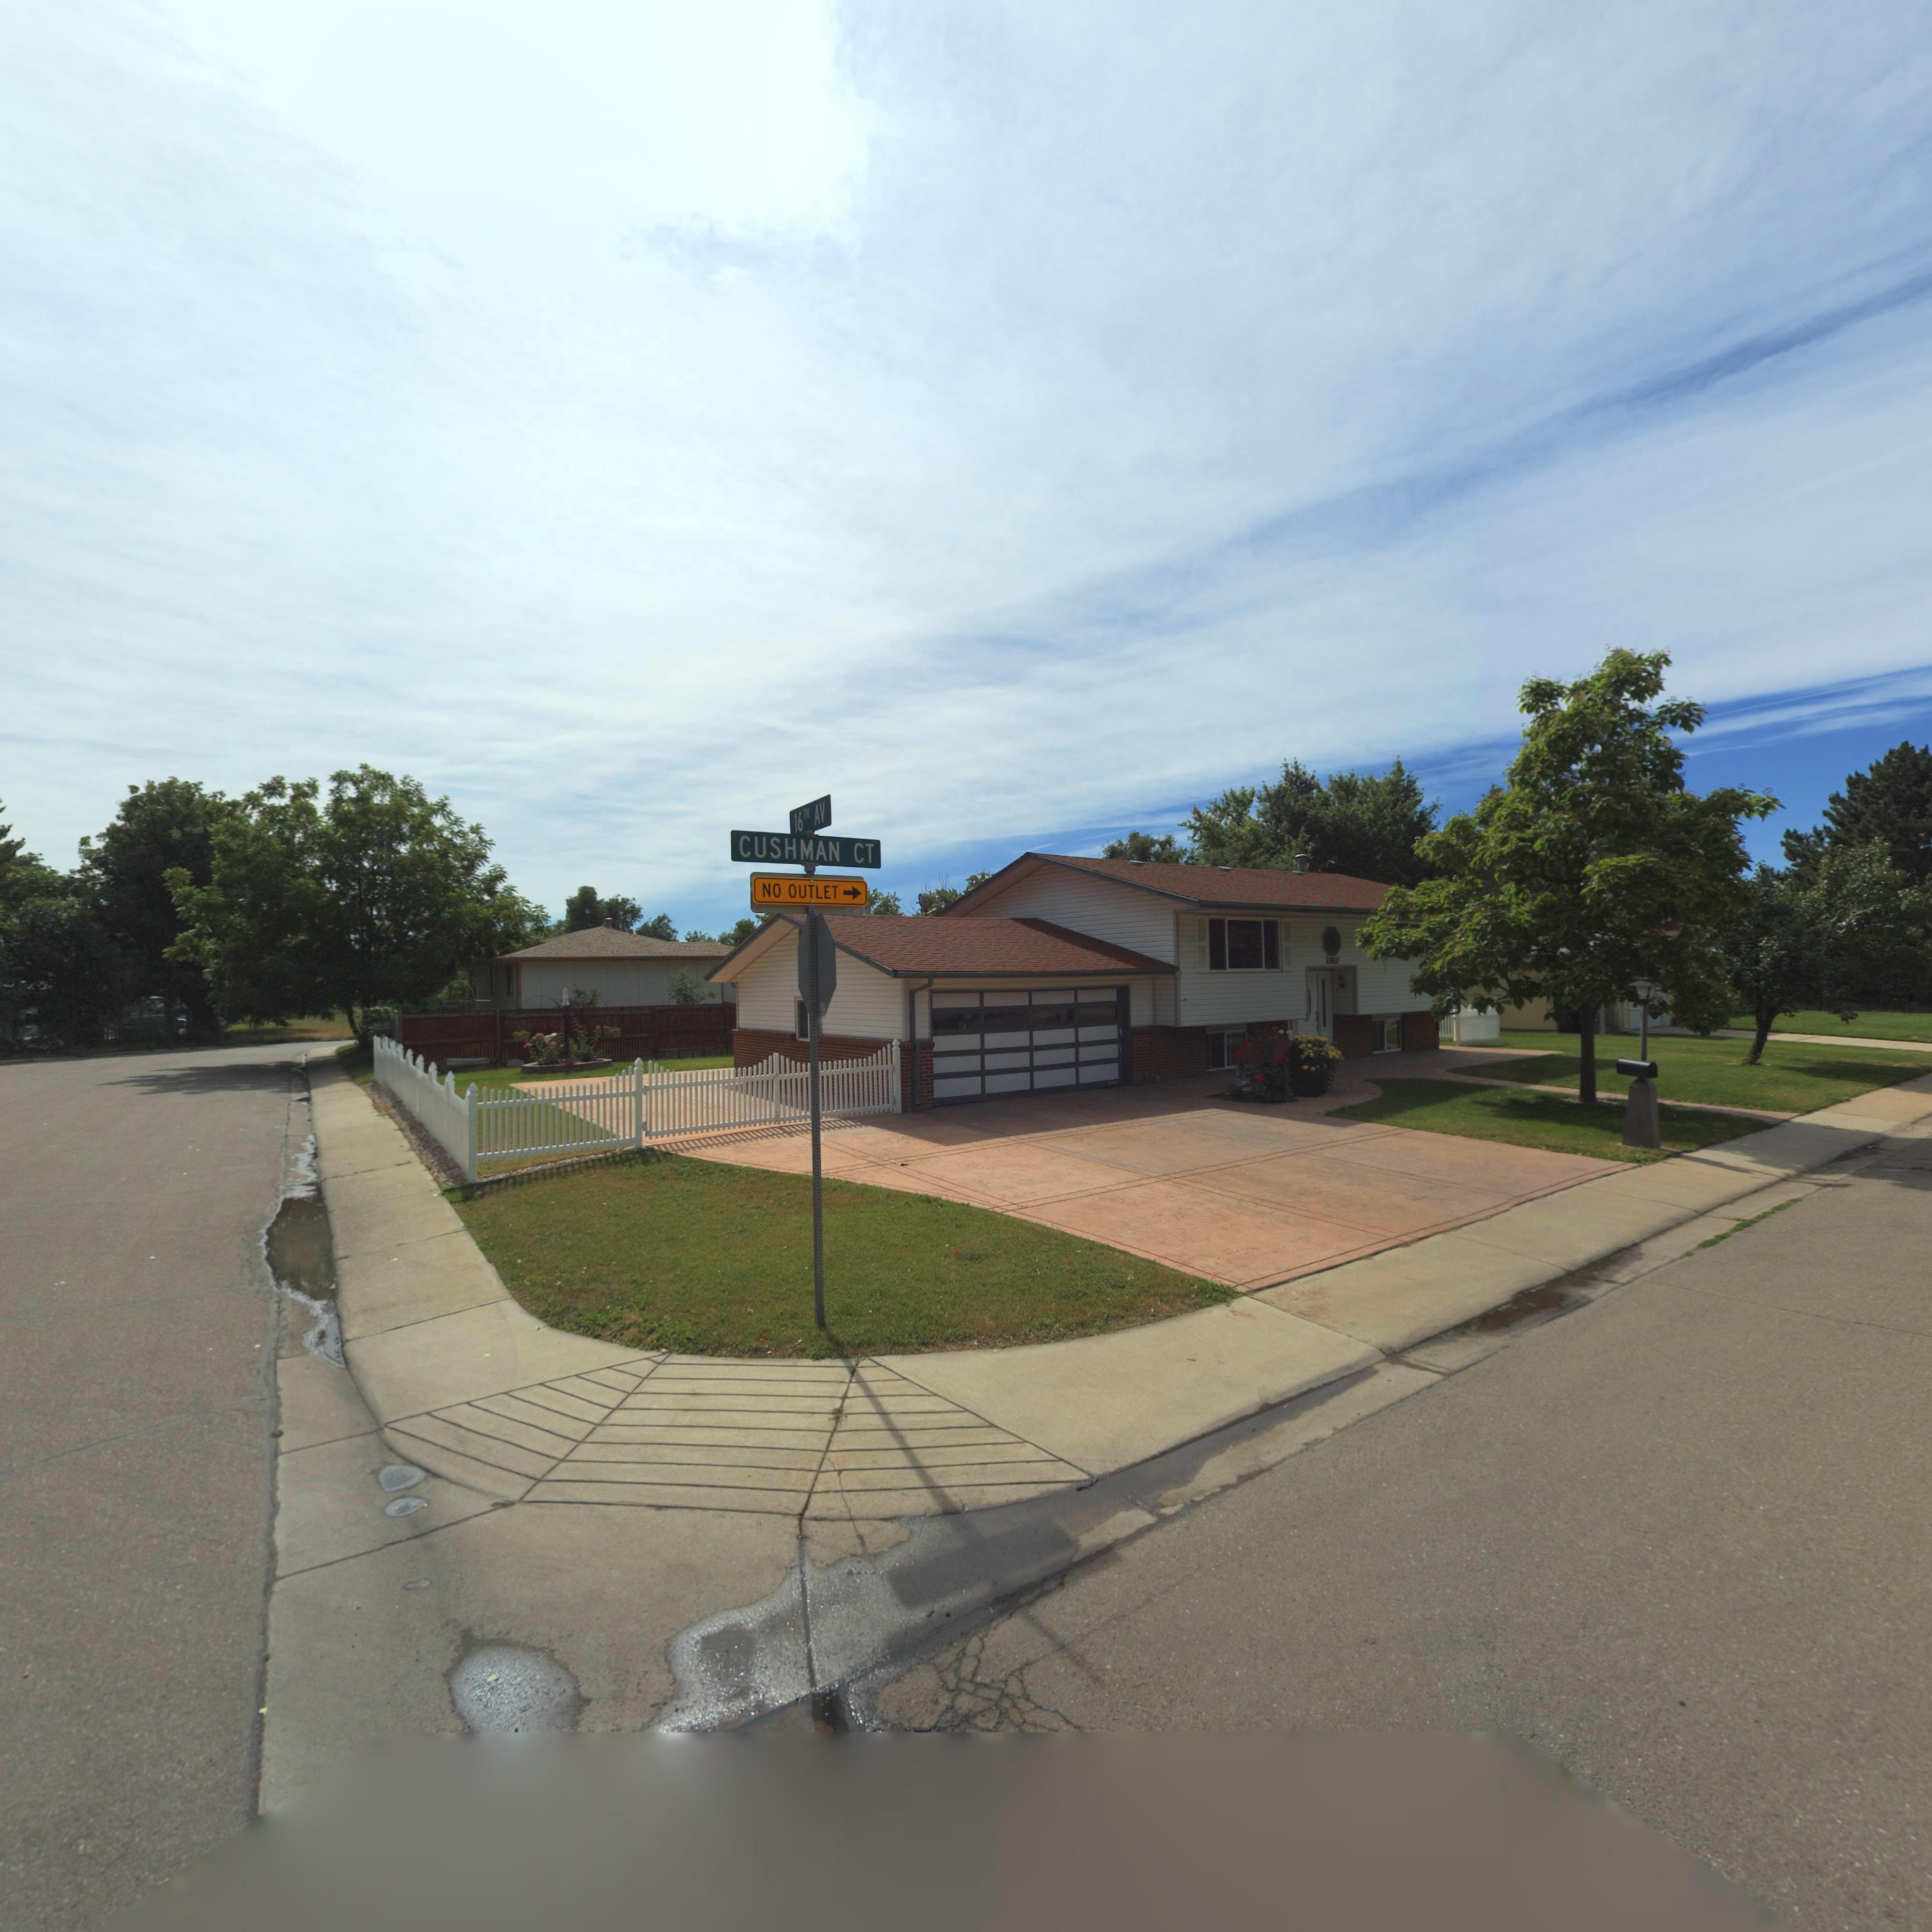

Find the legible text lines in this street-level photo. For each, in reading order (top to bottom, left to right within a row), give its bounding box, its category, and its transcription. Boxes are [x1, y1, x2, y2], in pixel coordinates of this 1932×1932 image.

[794, 799, 826, 833] StreetName: 16TH AV
[739, 835, 875, 863] StreetName: CUSHMAN CT
[1325, 956, 1340, 965] StreetNumber: 1552